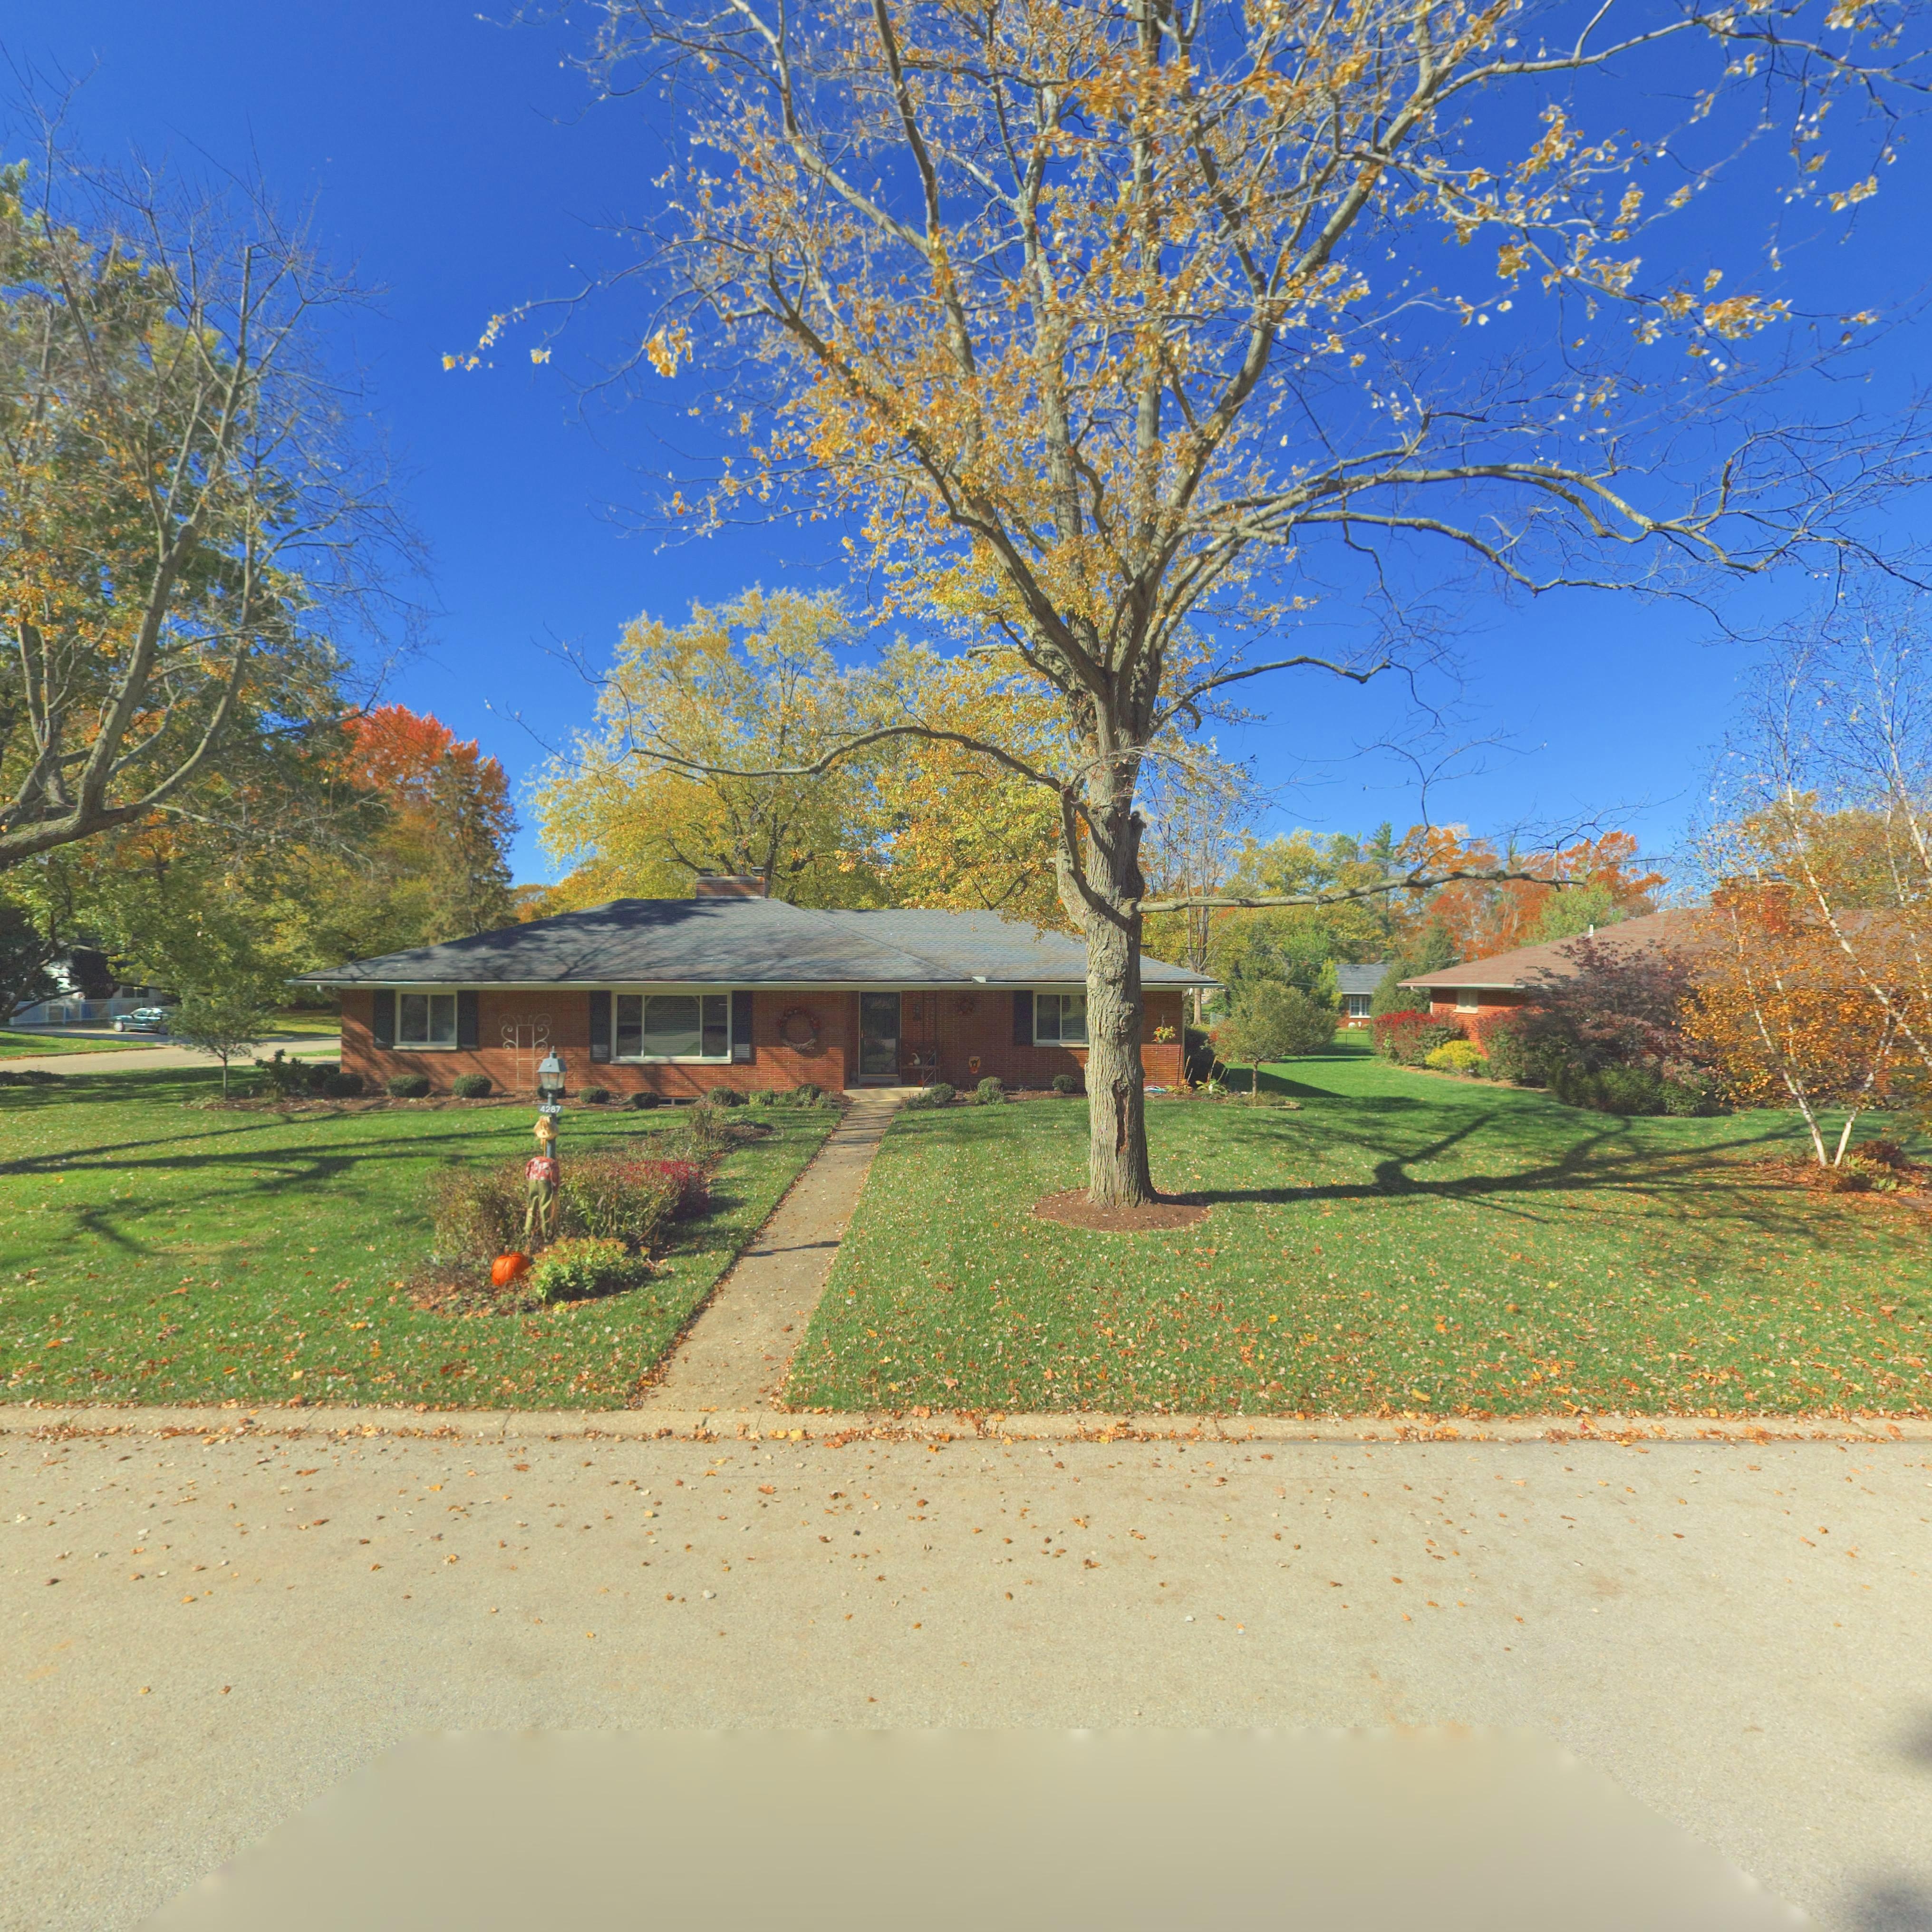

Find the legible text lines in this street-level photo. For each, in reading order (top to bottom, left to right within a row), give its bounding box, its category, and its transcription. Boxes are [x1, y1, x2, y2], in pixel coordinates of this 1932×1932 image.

[539, 1105, 561, 1113] StreetNumber: 4287